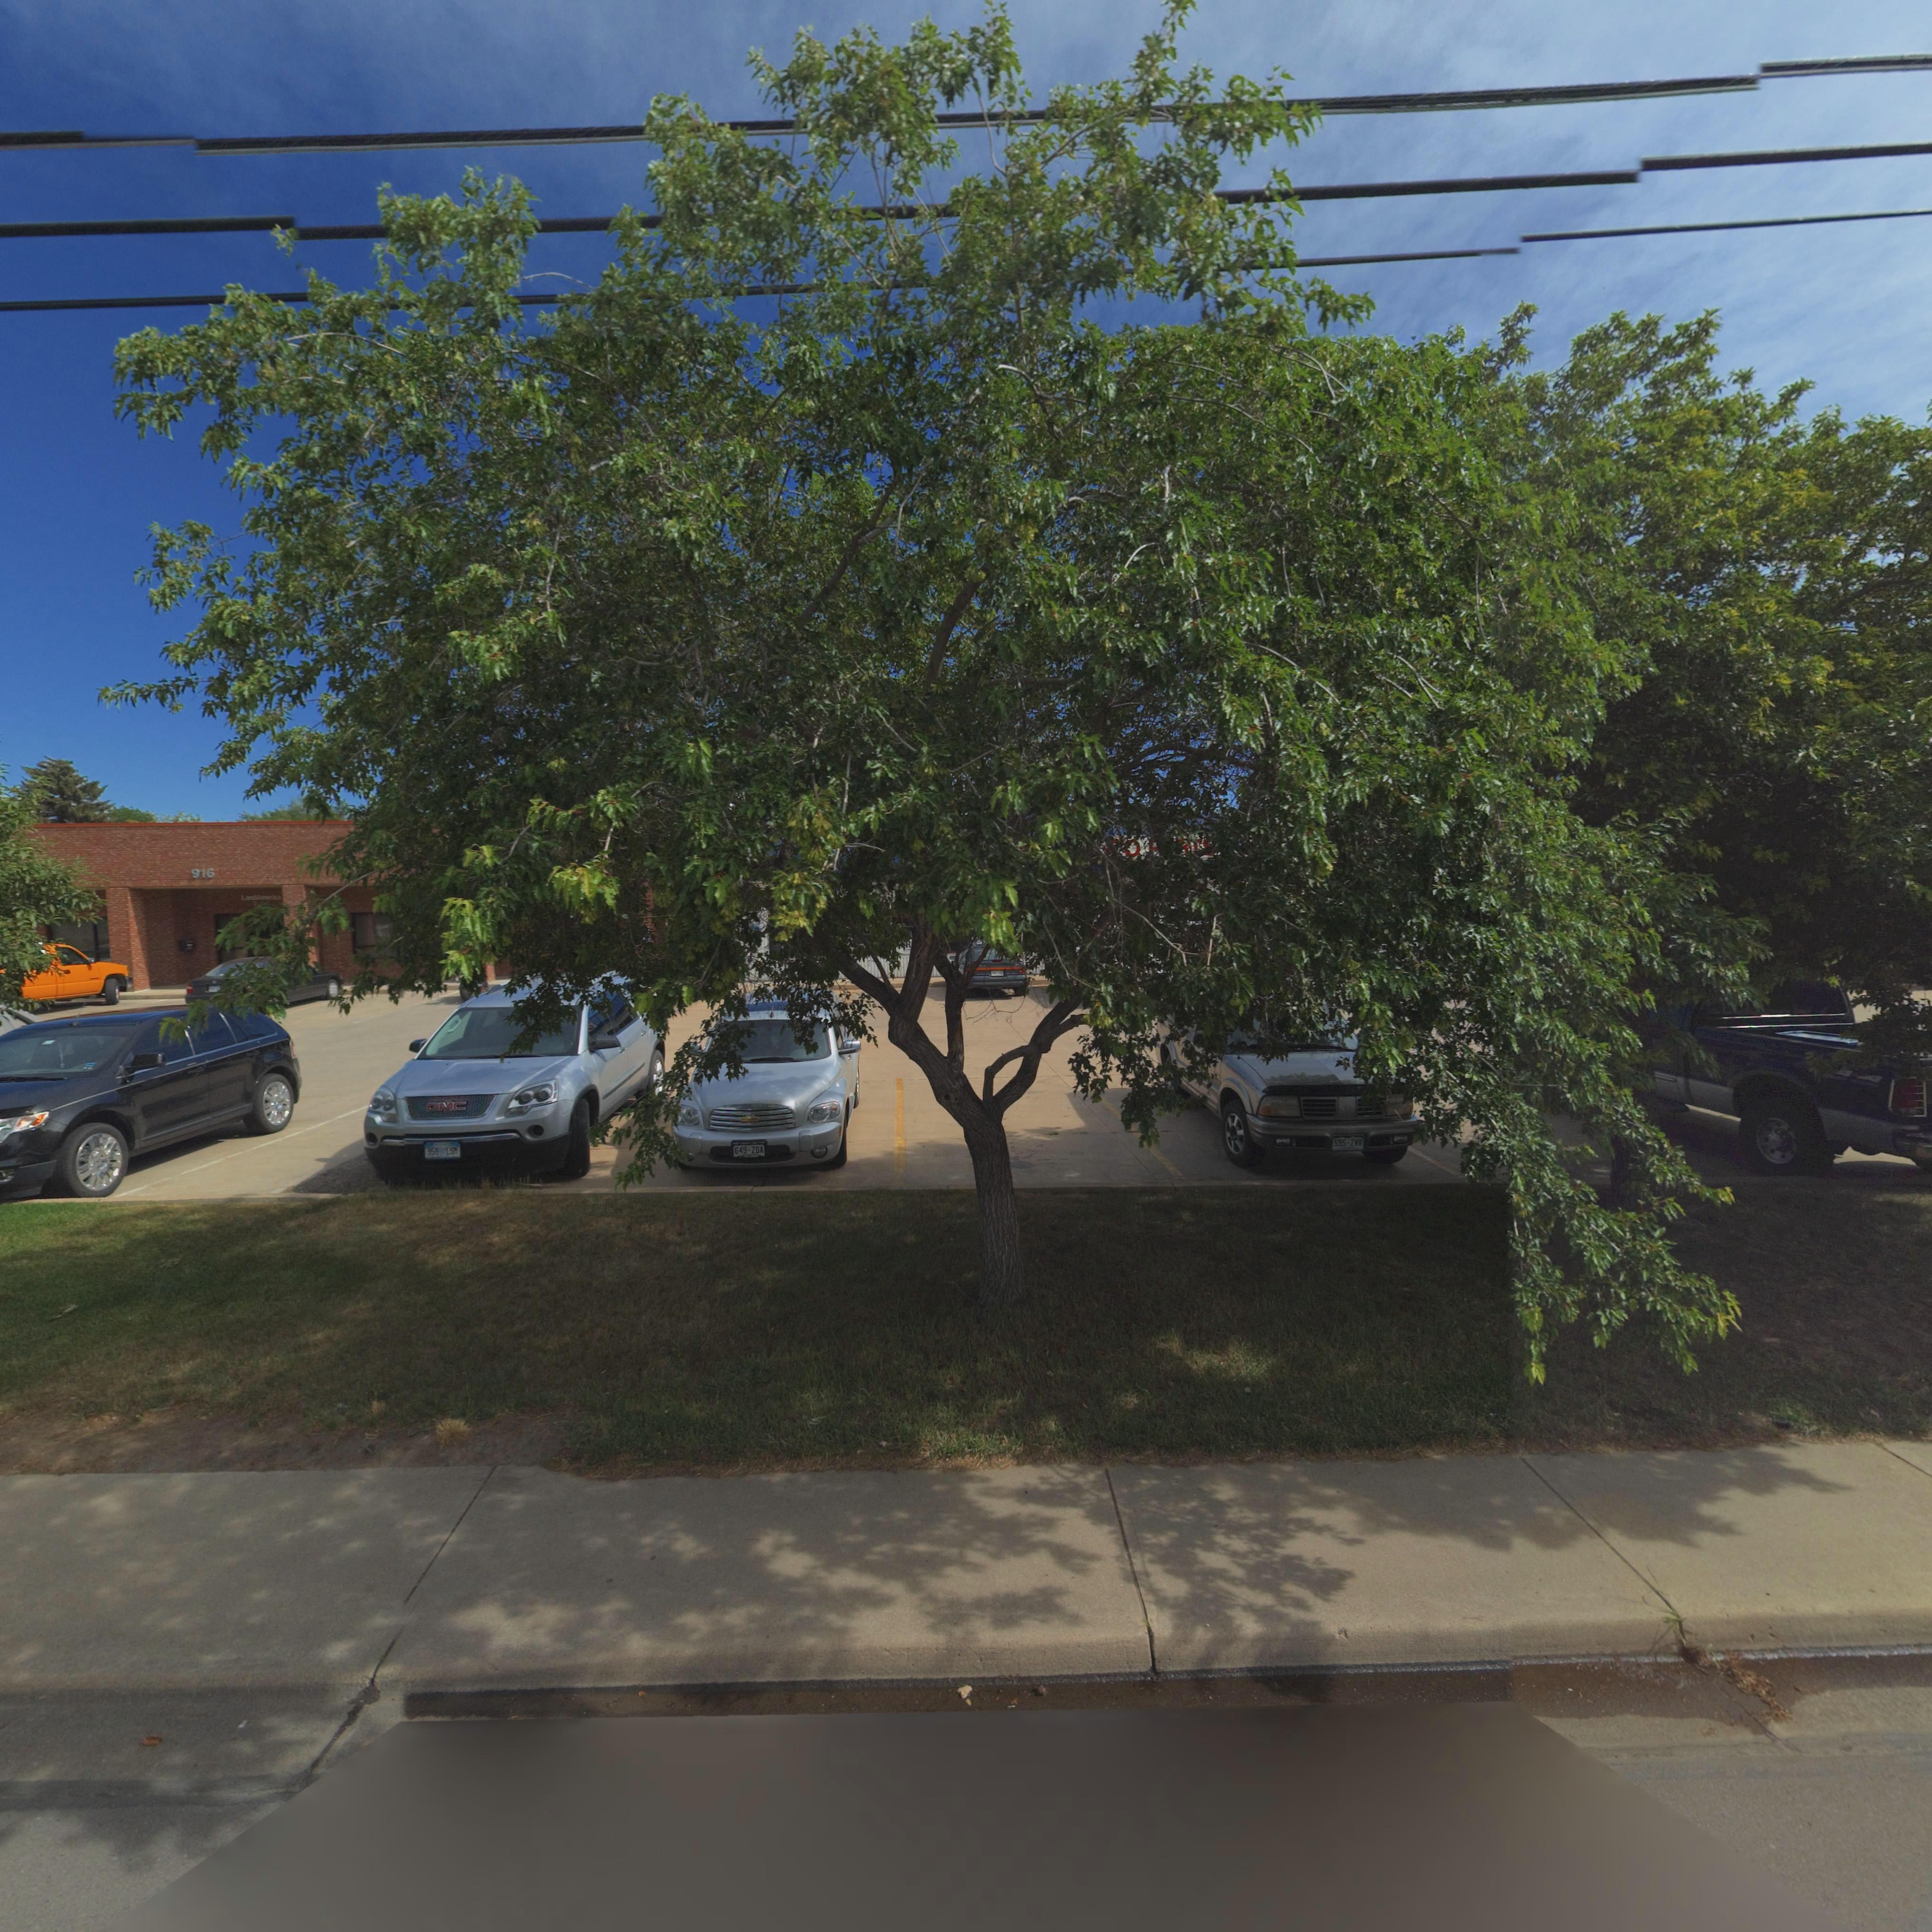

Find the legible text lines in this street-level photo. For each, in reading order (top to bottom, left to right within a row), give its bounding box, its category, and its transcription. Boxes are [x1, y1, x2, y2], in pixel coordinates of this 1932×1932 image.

[190, 868, 215, 879] StreetNumber: 916